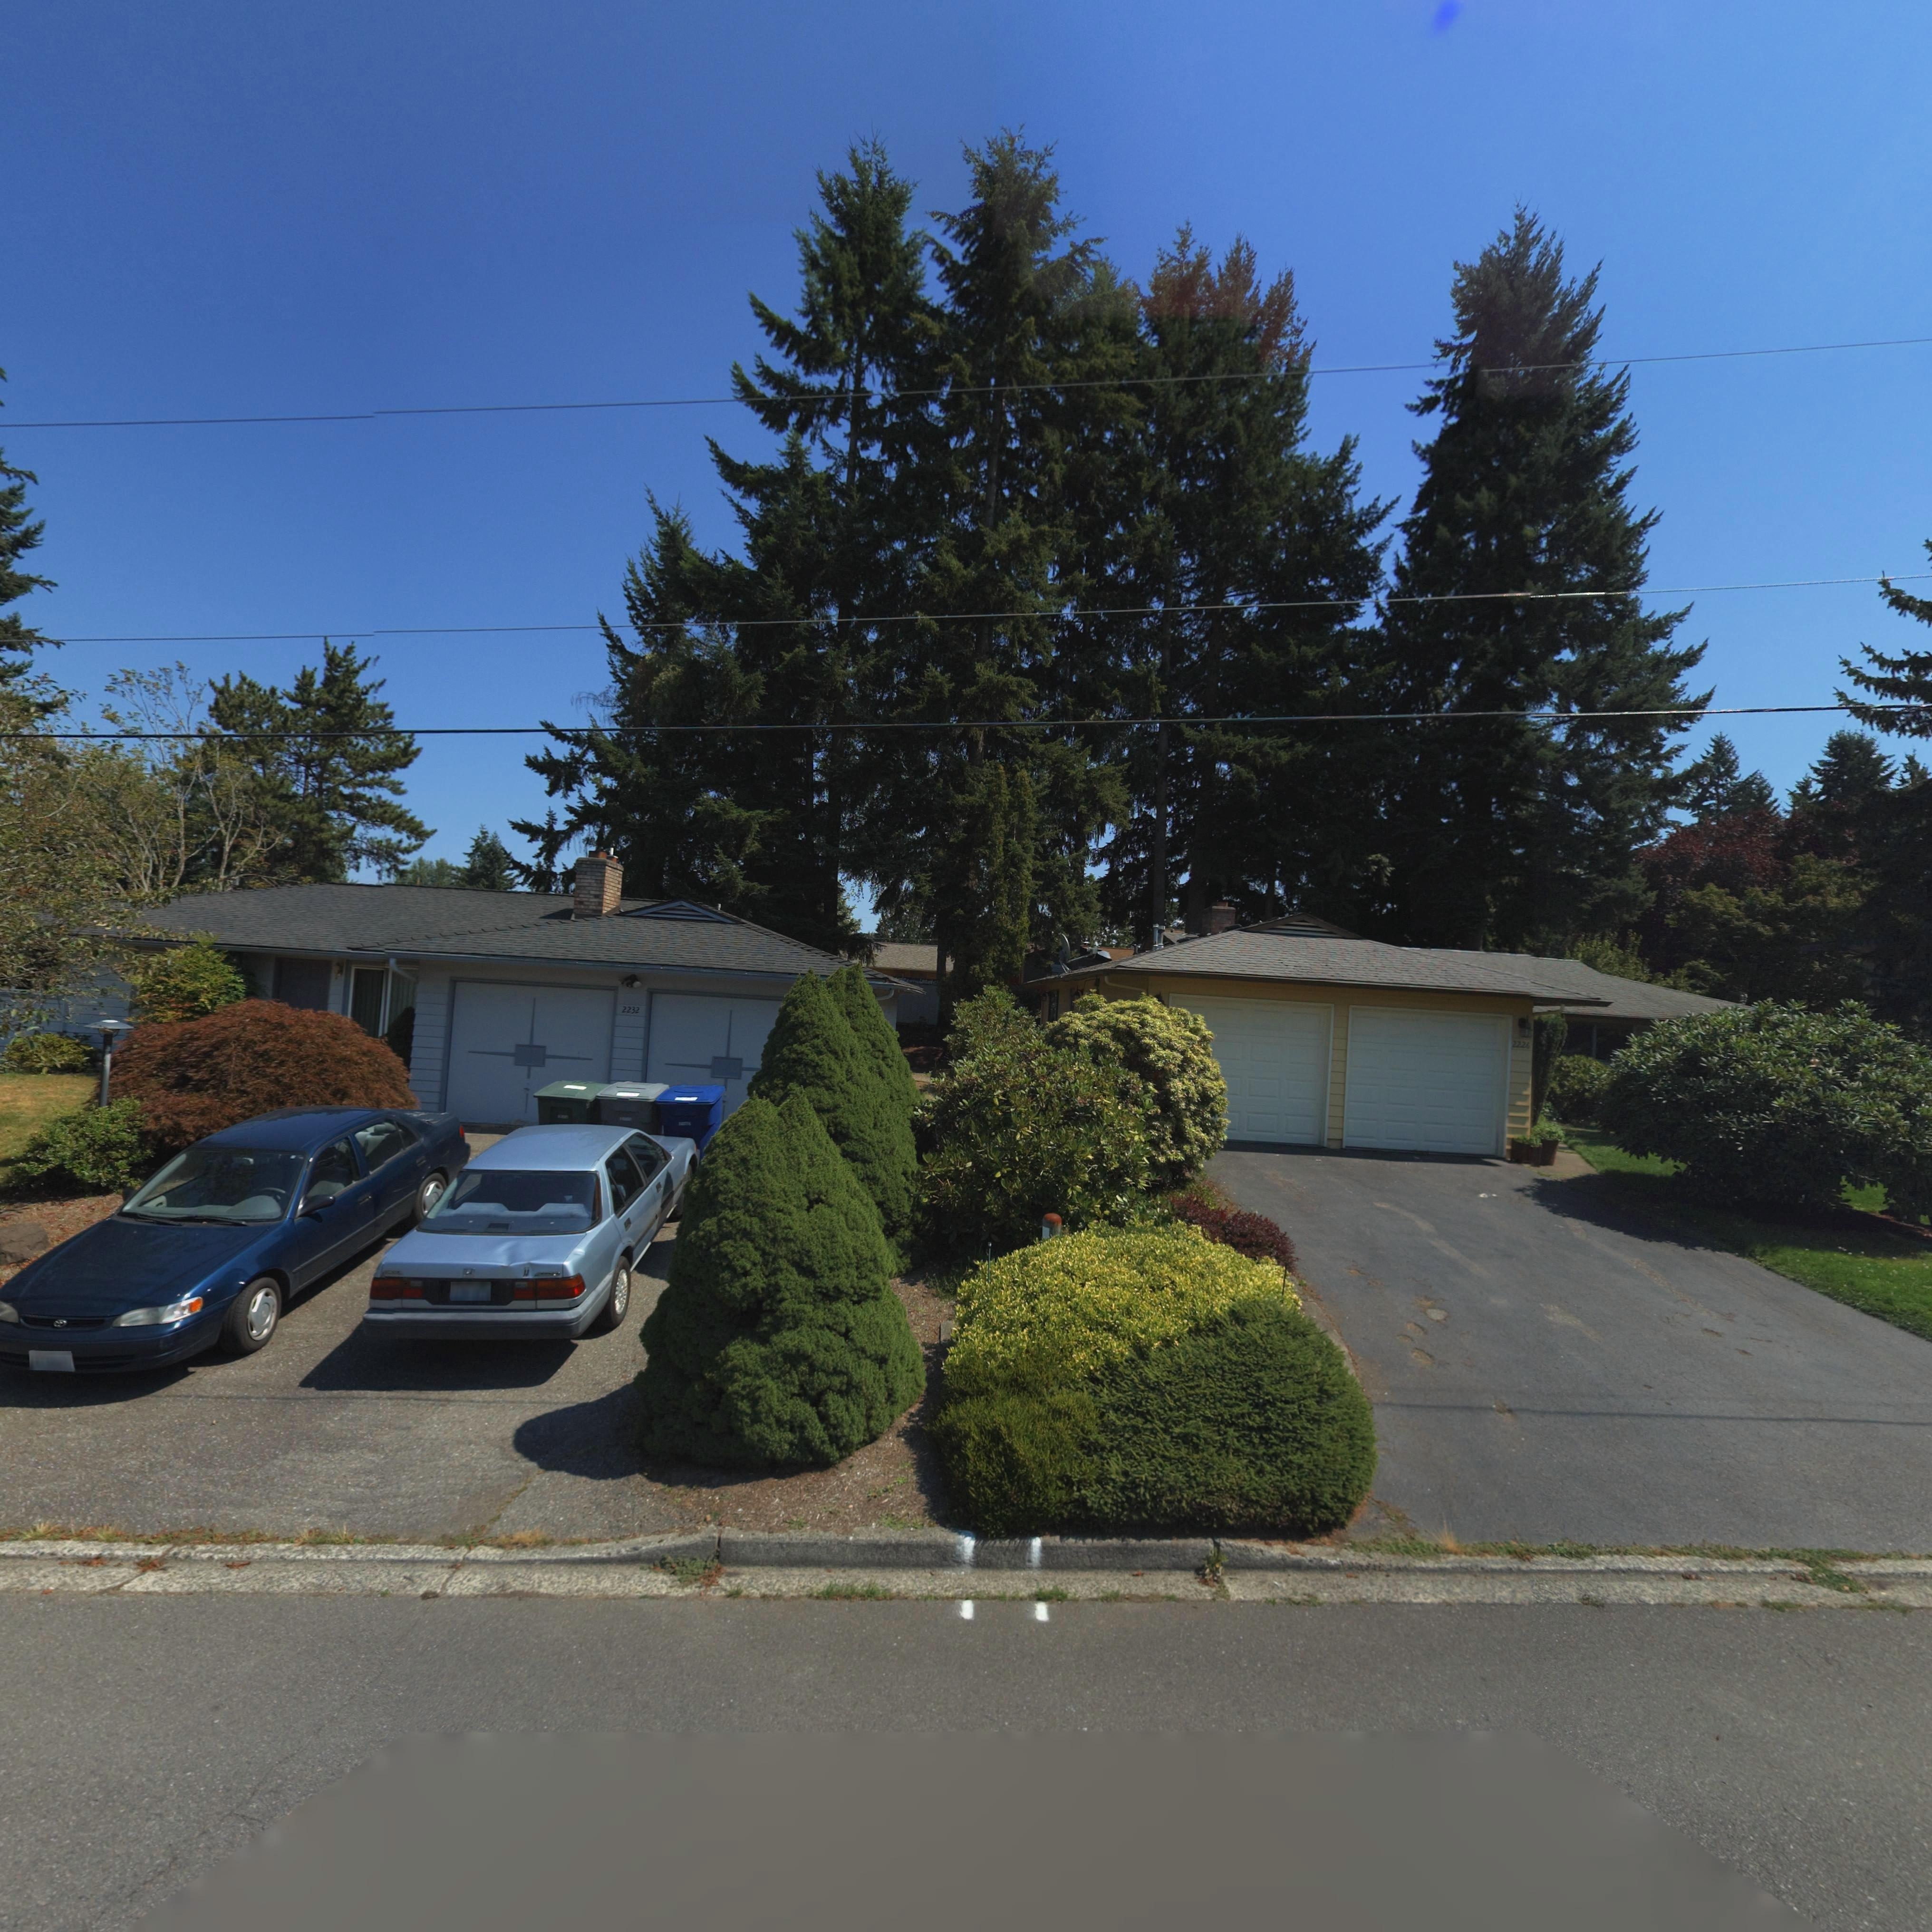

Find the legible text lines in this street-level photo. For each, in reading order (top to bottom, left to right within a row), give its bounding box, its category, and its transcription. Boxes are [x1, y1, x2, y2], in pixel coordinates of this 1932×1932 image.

[621, 1005, 641, 1014] StreetNumber: 2232
[1511, 1039, 1532, 1050] None: 2226